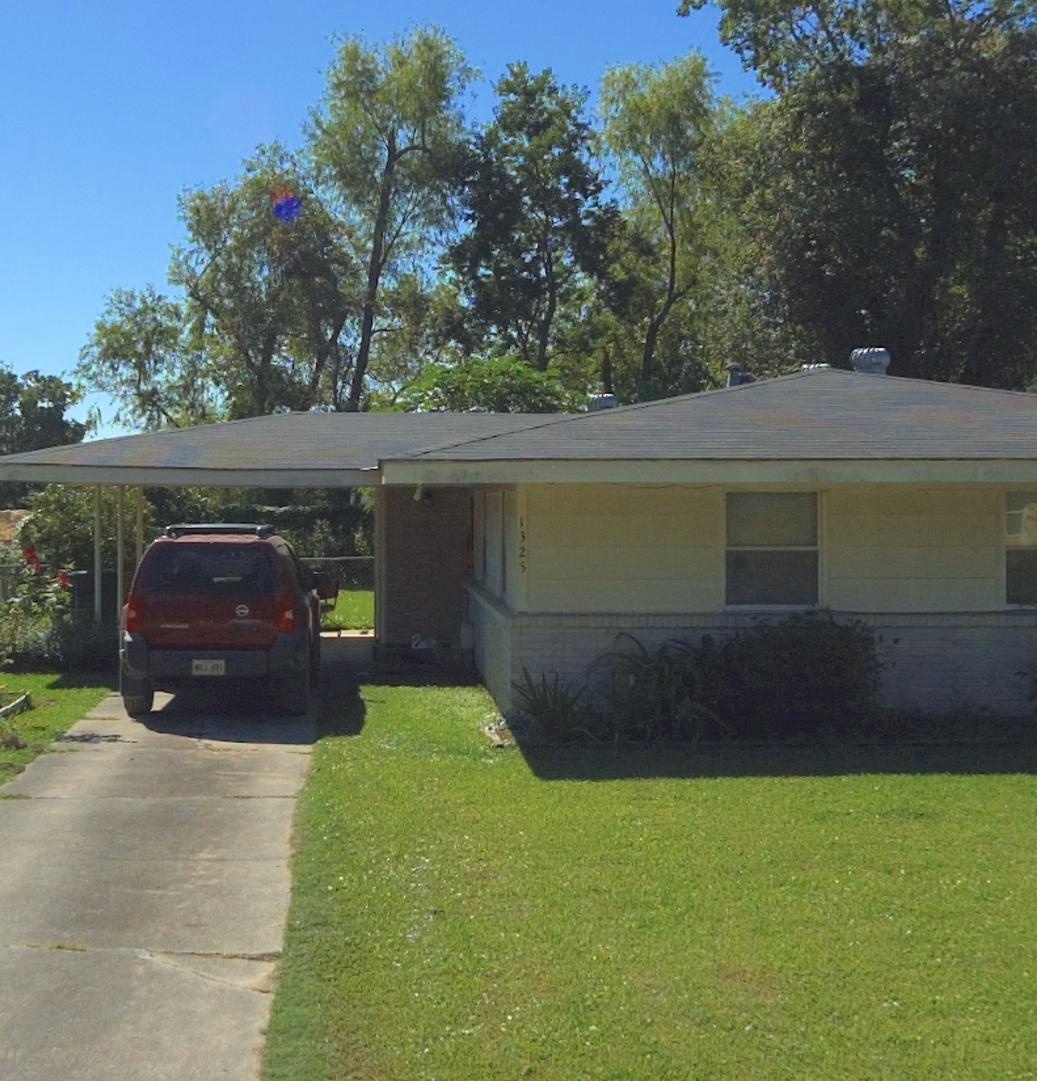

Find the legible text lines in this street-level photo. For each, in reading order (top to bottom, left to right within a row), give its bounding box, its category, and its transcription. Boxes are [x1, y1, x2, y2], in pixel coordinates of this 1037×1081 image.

[518, 515, 527, 575] StreetNumber: 1325